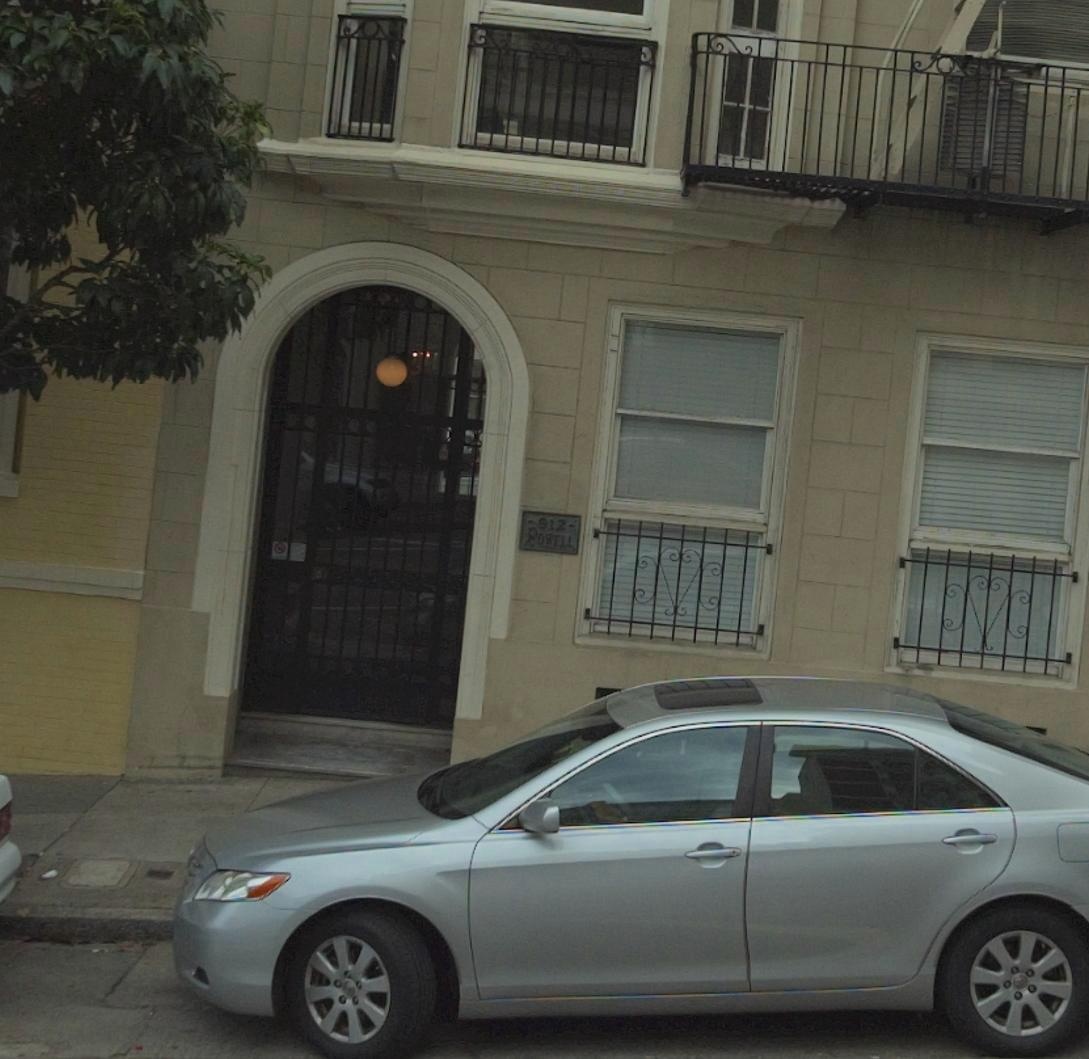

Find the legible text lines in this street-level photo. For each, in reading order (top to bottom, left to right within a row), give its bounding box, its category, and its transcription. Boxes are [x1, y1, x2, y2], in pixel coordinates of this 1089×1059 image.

[536, 516, 568, 533] StreetNumber: 912
[522, 526, 575, 550] StreetName: *OWELL